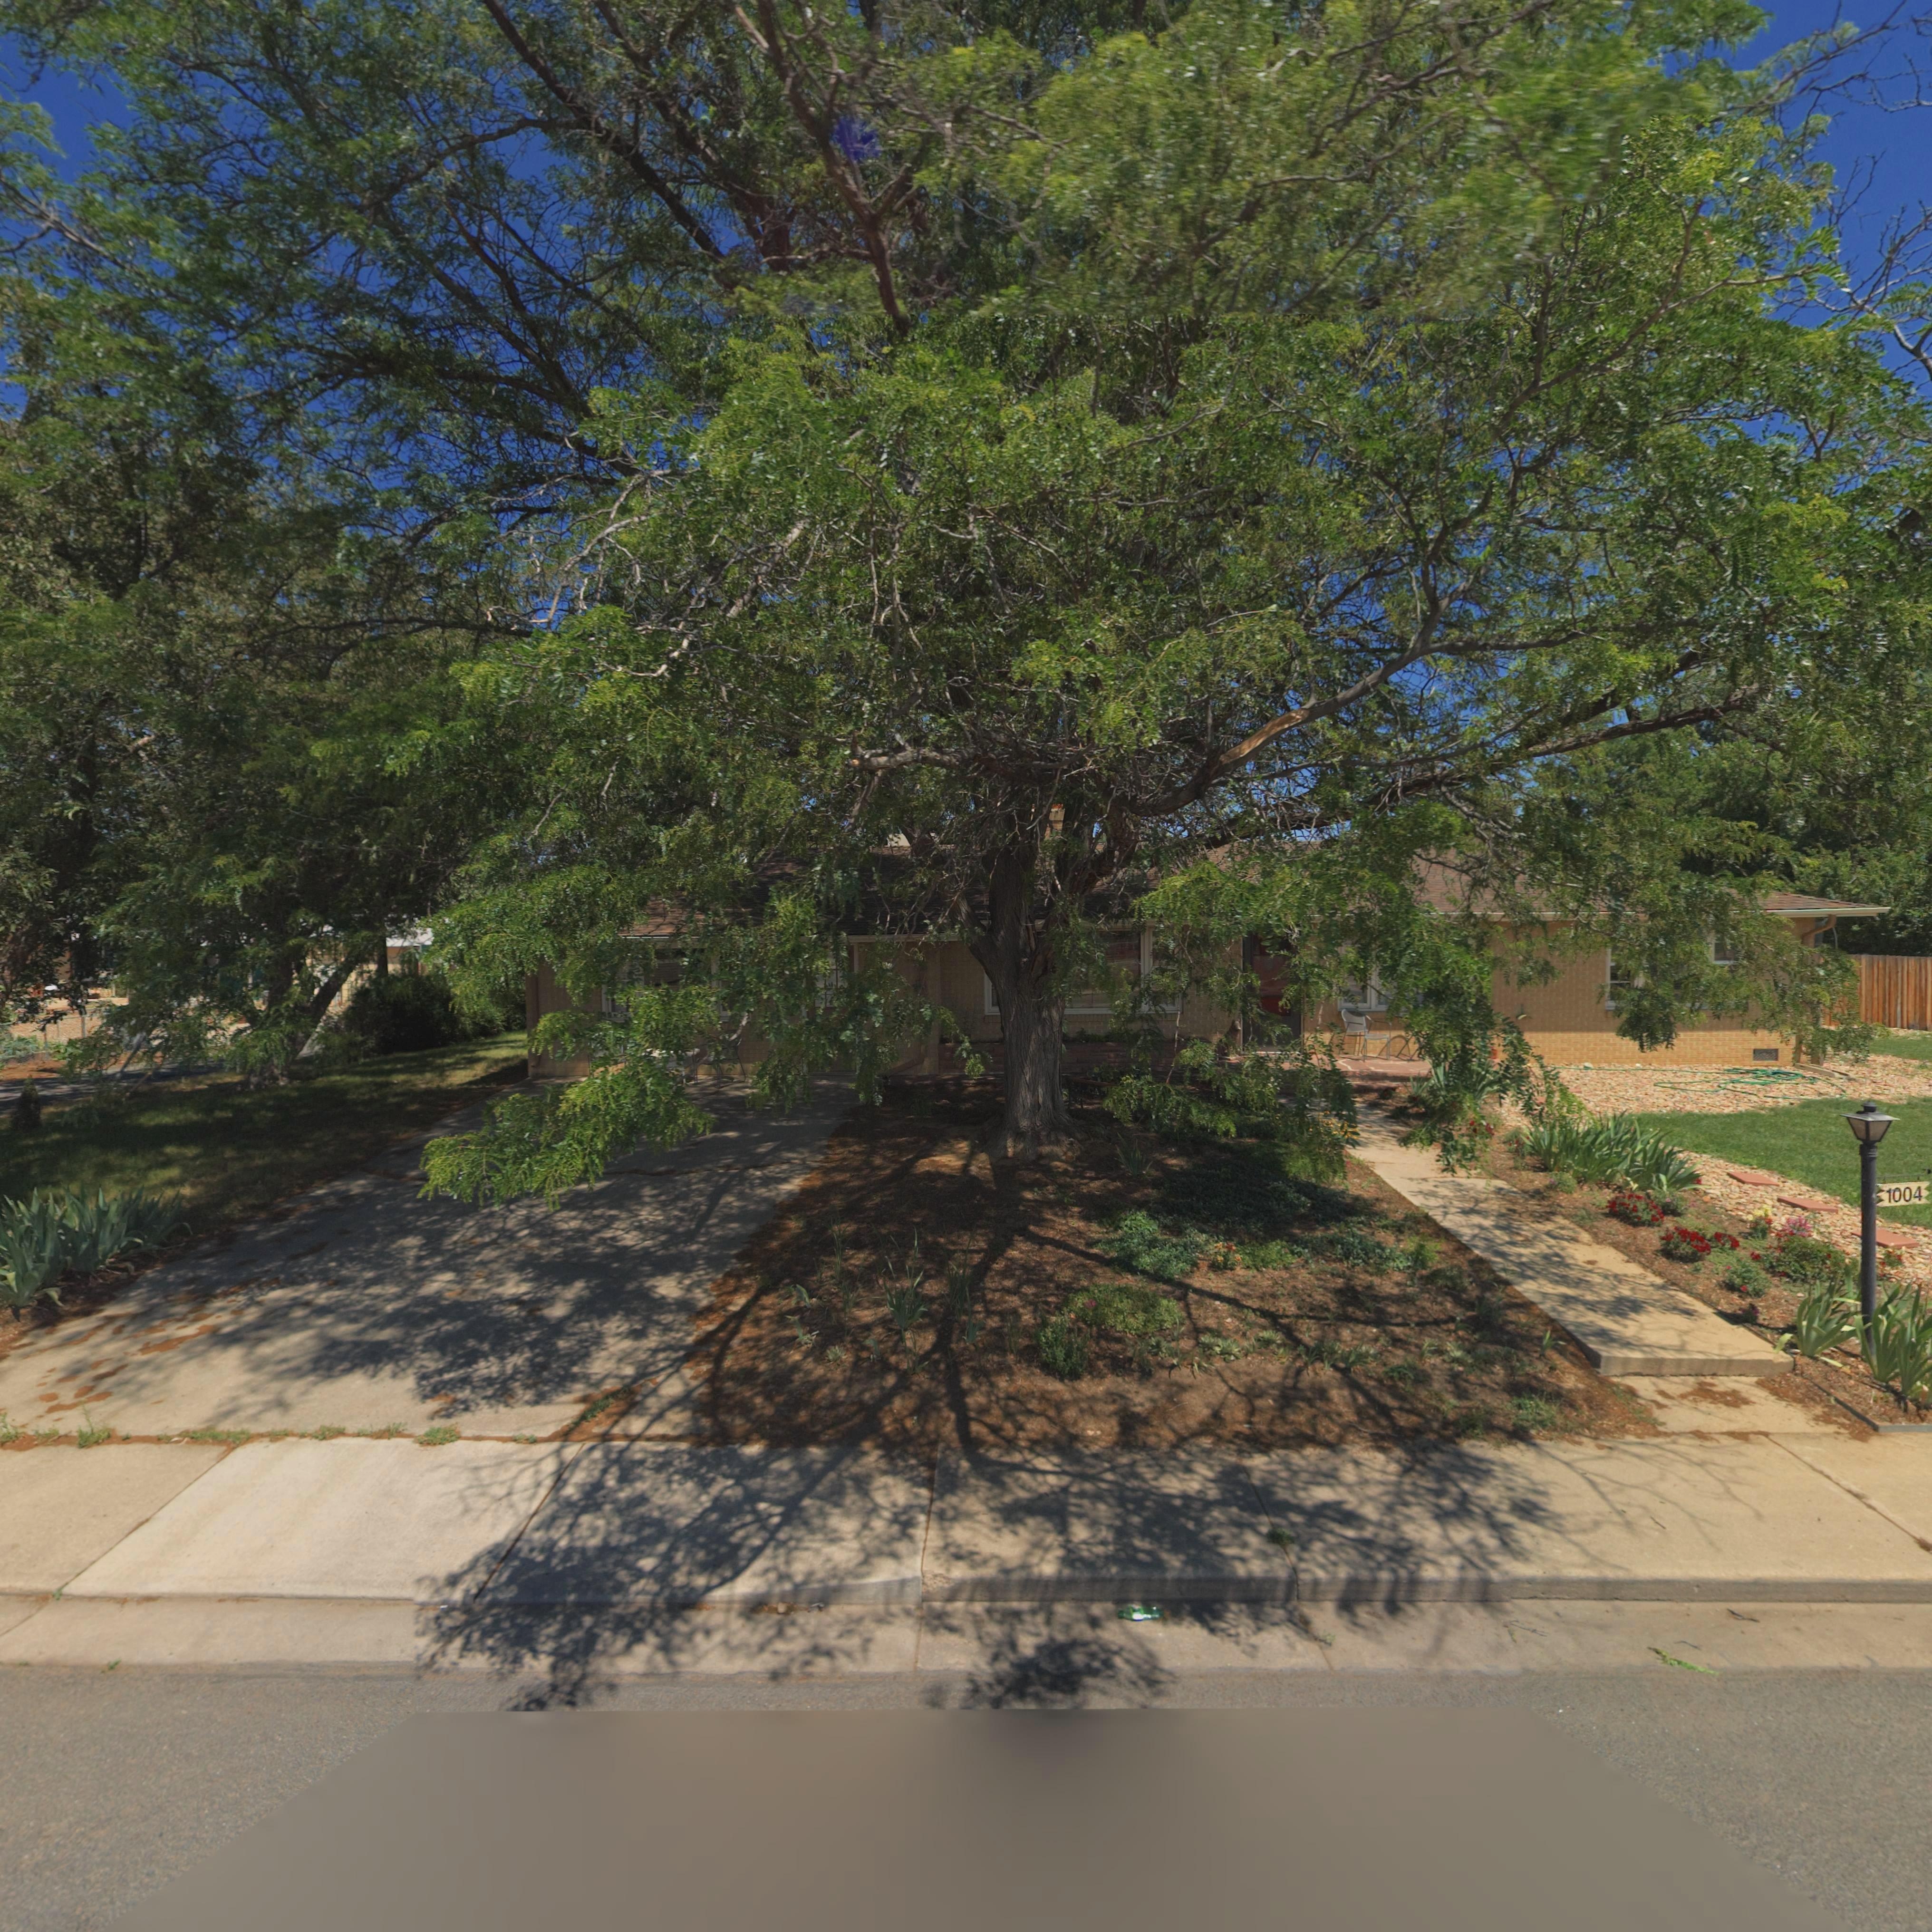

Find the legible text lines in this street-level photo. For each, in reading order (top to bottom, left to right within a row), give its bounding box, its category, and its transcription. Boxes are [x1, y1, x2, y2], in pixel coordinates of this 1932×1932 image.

[1886, 1186, 1922, 1203] StreetNumber: 1004